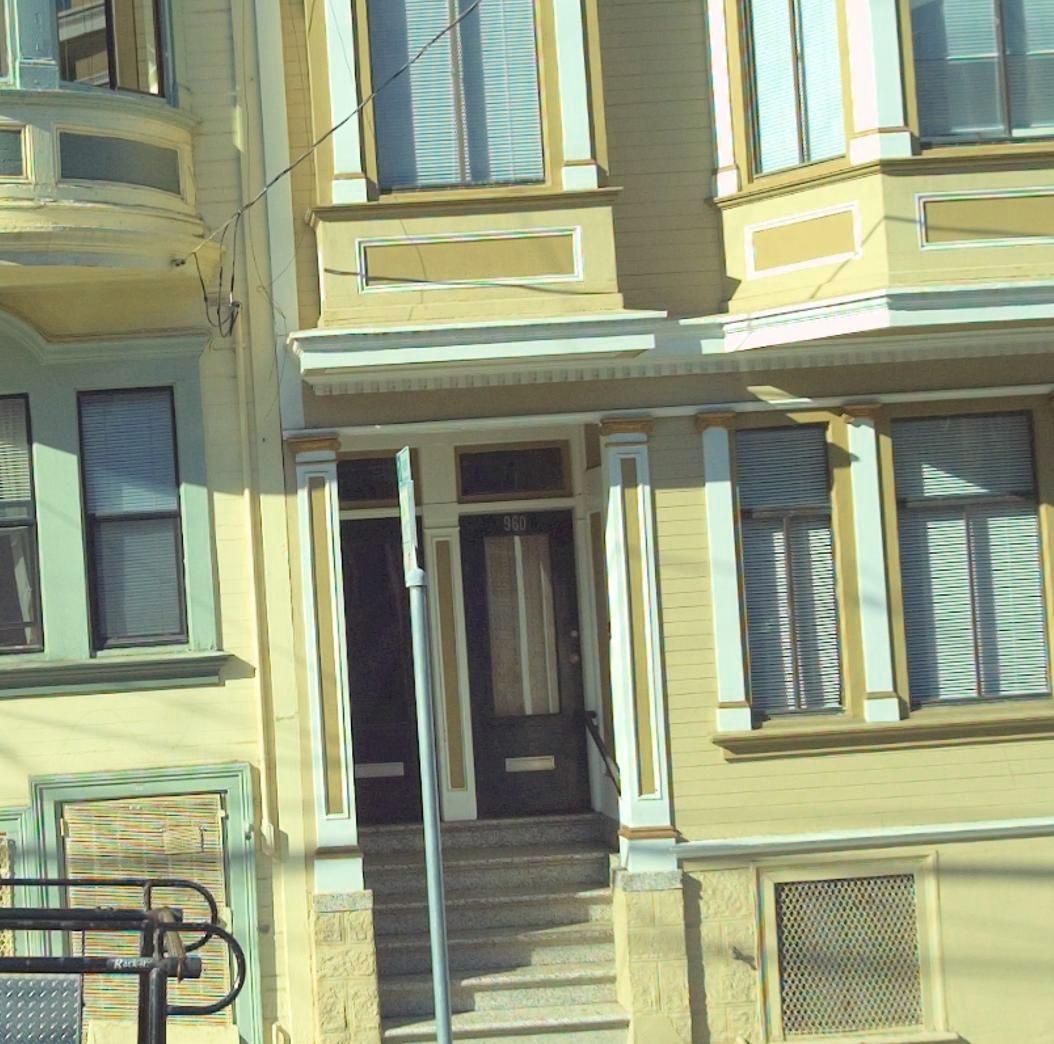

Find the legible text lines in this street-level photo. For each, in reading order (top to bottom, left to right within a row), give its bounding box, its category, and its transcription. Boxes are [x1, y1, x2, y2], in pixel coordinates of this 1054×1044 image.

[502, 514, 528, 533] StreetNumber: 960